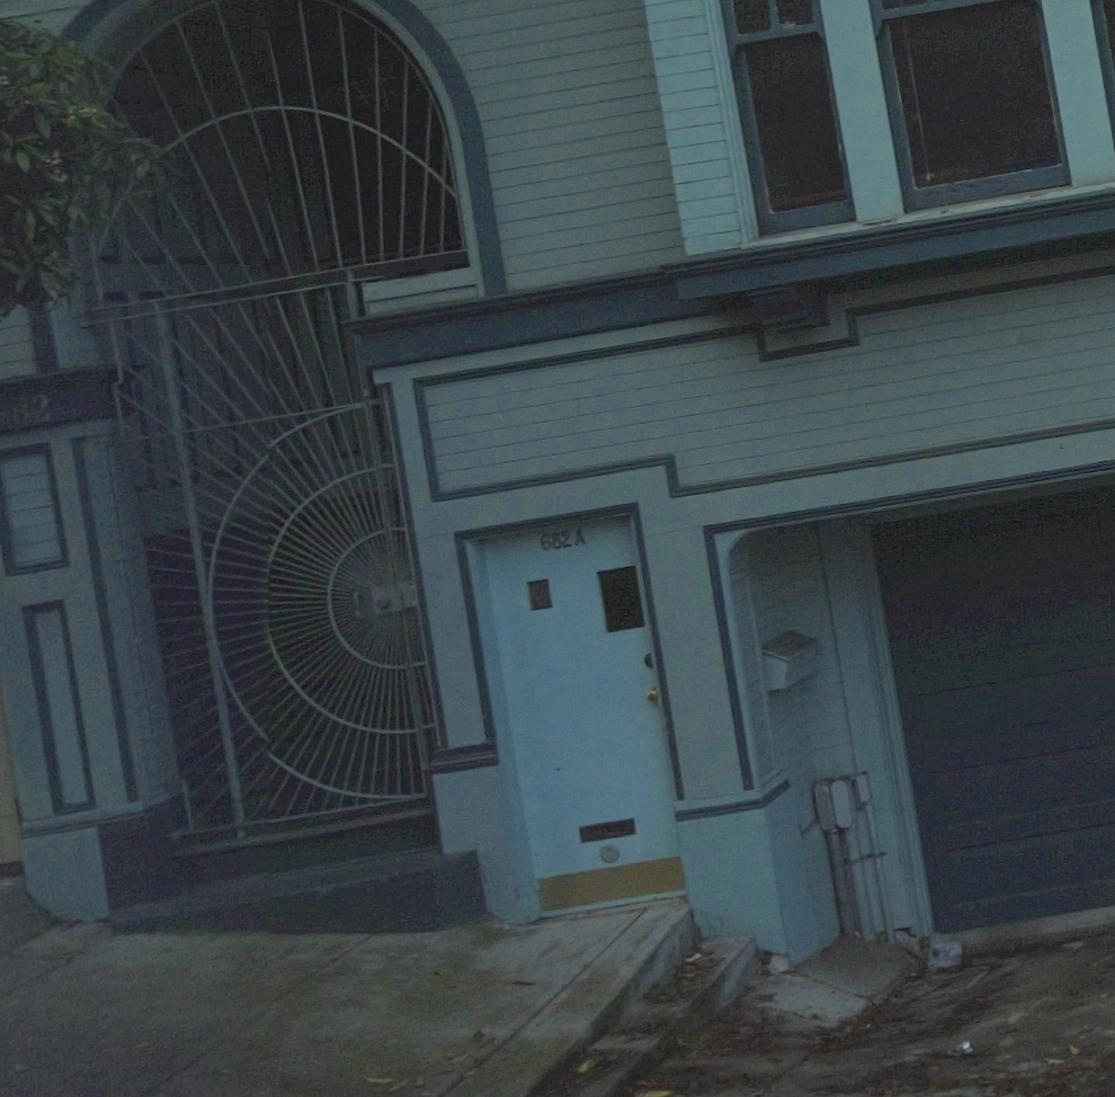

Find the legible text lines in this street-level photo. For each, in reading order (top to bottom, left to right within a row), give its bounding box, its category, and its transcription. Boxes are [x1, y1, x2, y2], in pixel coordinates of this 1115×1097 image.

[538, 527, 586, 551] StreetNumber: 682A